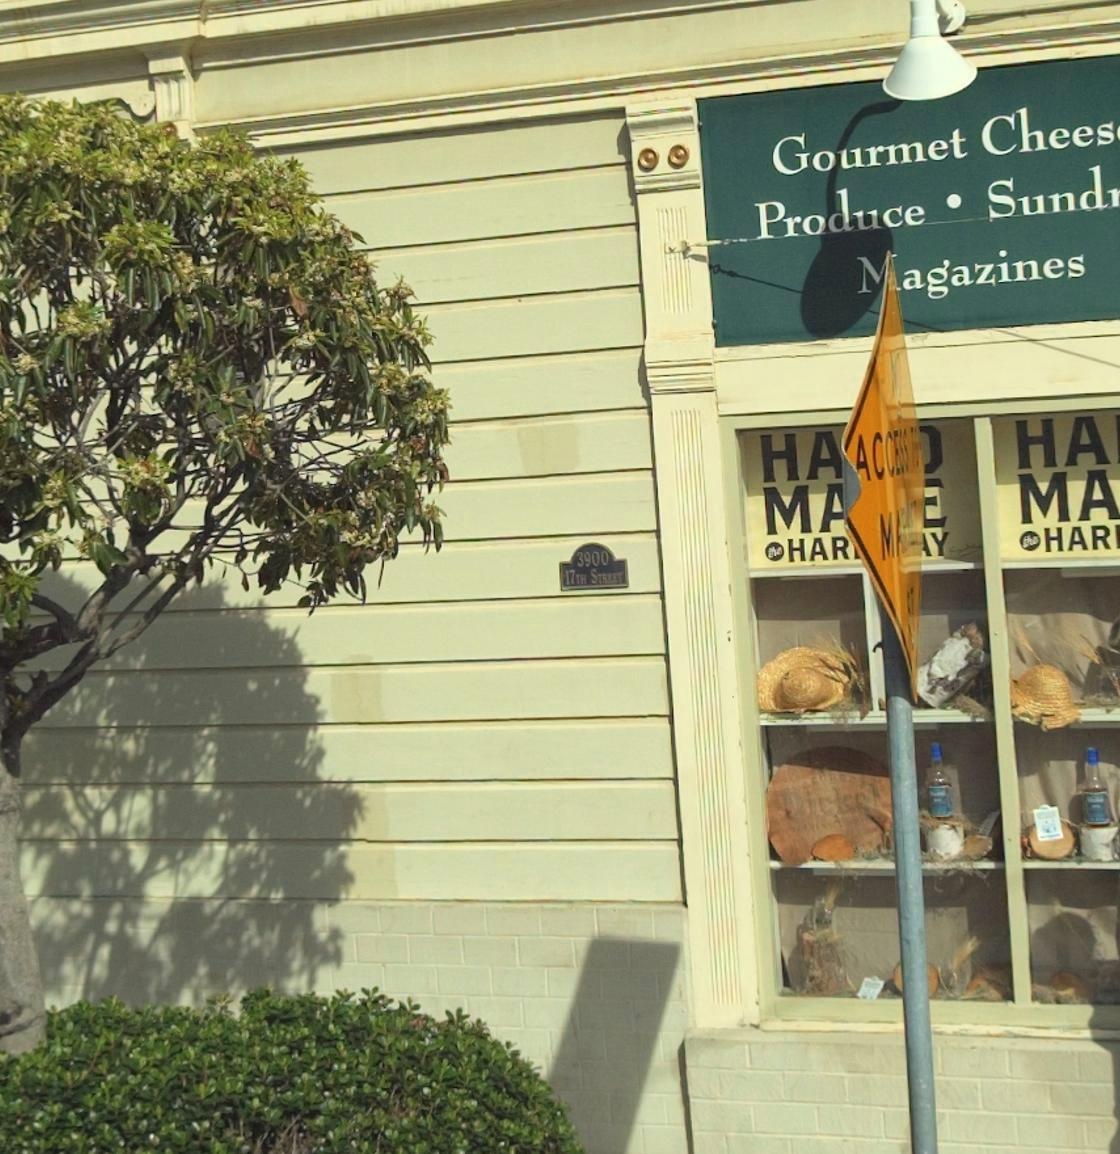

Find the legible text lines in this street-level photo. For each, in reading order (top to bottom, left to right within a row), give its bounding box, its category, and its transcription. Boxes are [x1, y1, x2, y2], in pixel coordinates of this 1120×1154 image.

[766, 97, 1116, 180] None: Gourmet Chees
[747, 177, 929, 243] None: Produce
[980, 157, 1110, 222] None: Sund
[851, 240, 1090, 303] None: *agazines
[757, 427, 856, 484] None: H*
[853, 426, 912, 481] None: *CCESS
[1011, 414, 1116, 469] None: HA
[761, 483, 814, 537] None: M
[1015, 468, 1119, 526] None: MA
[576, 550, 611, 569] StreetNumber: 3900
[564, 567, 626, 586] StreetName: 17TH STREET
[786, 535, 852, 564] None: HAR
[928, 530, 952, 559] None: Y
[1042, 524, 1115, 554] None: HAR